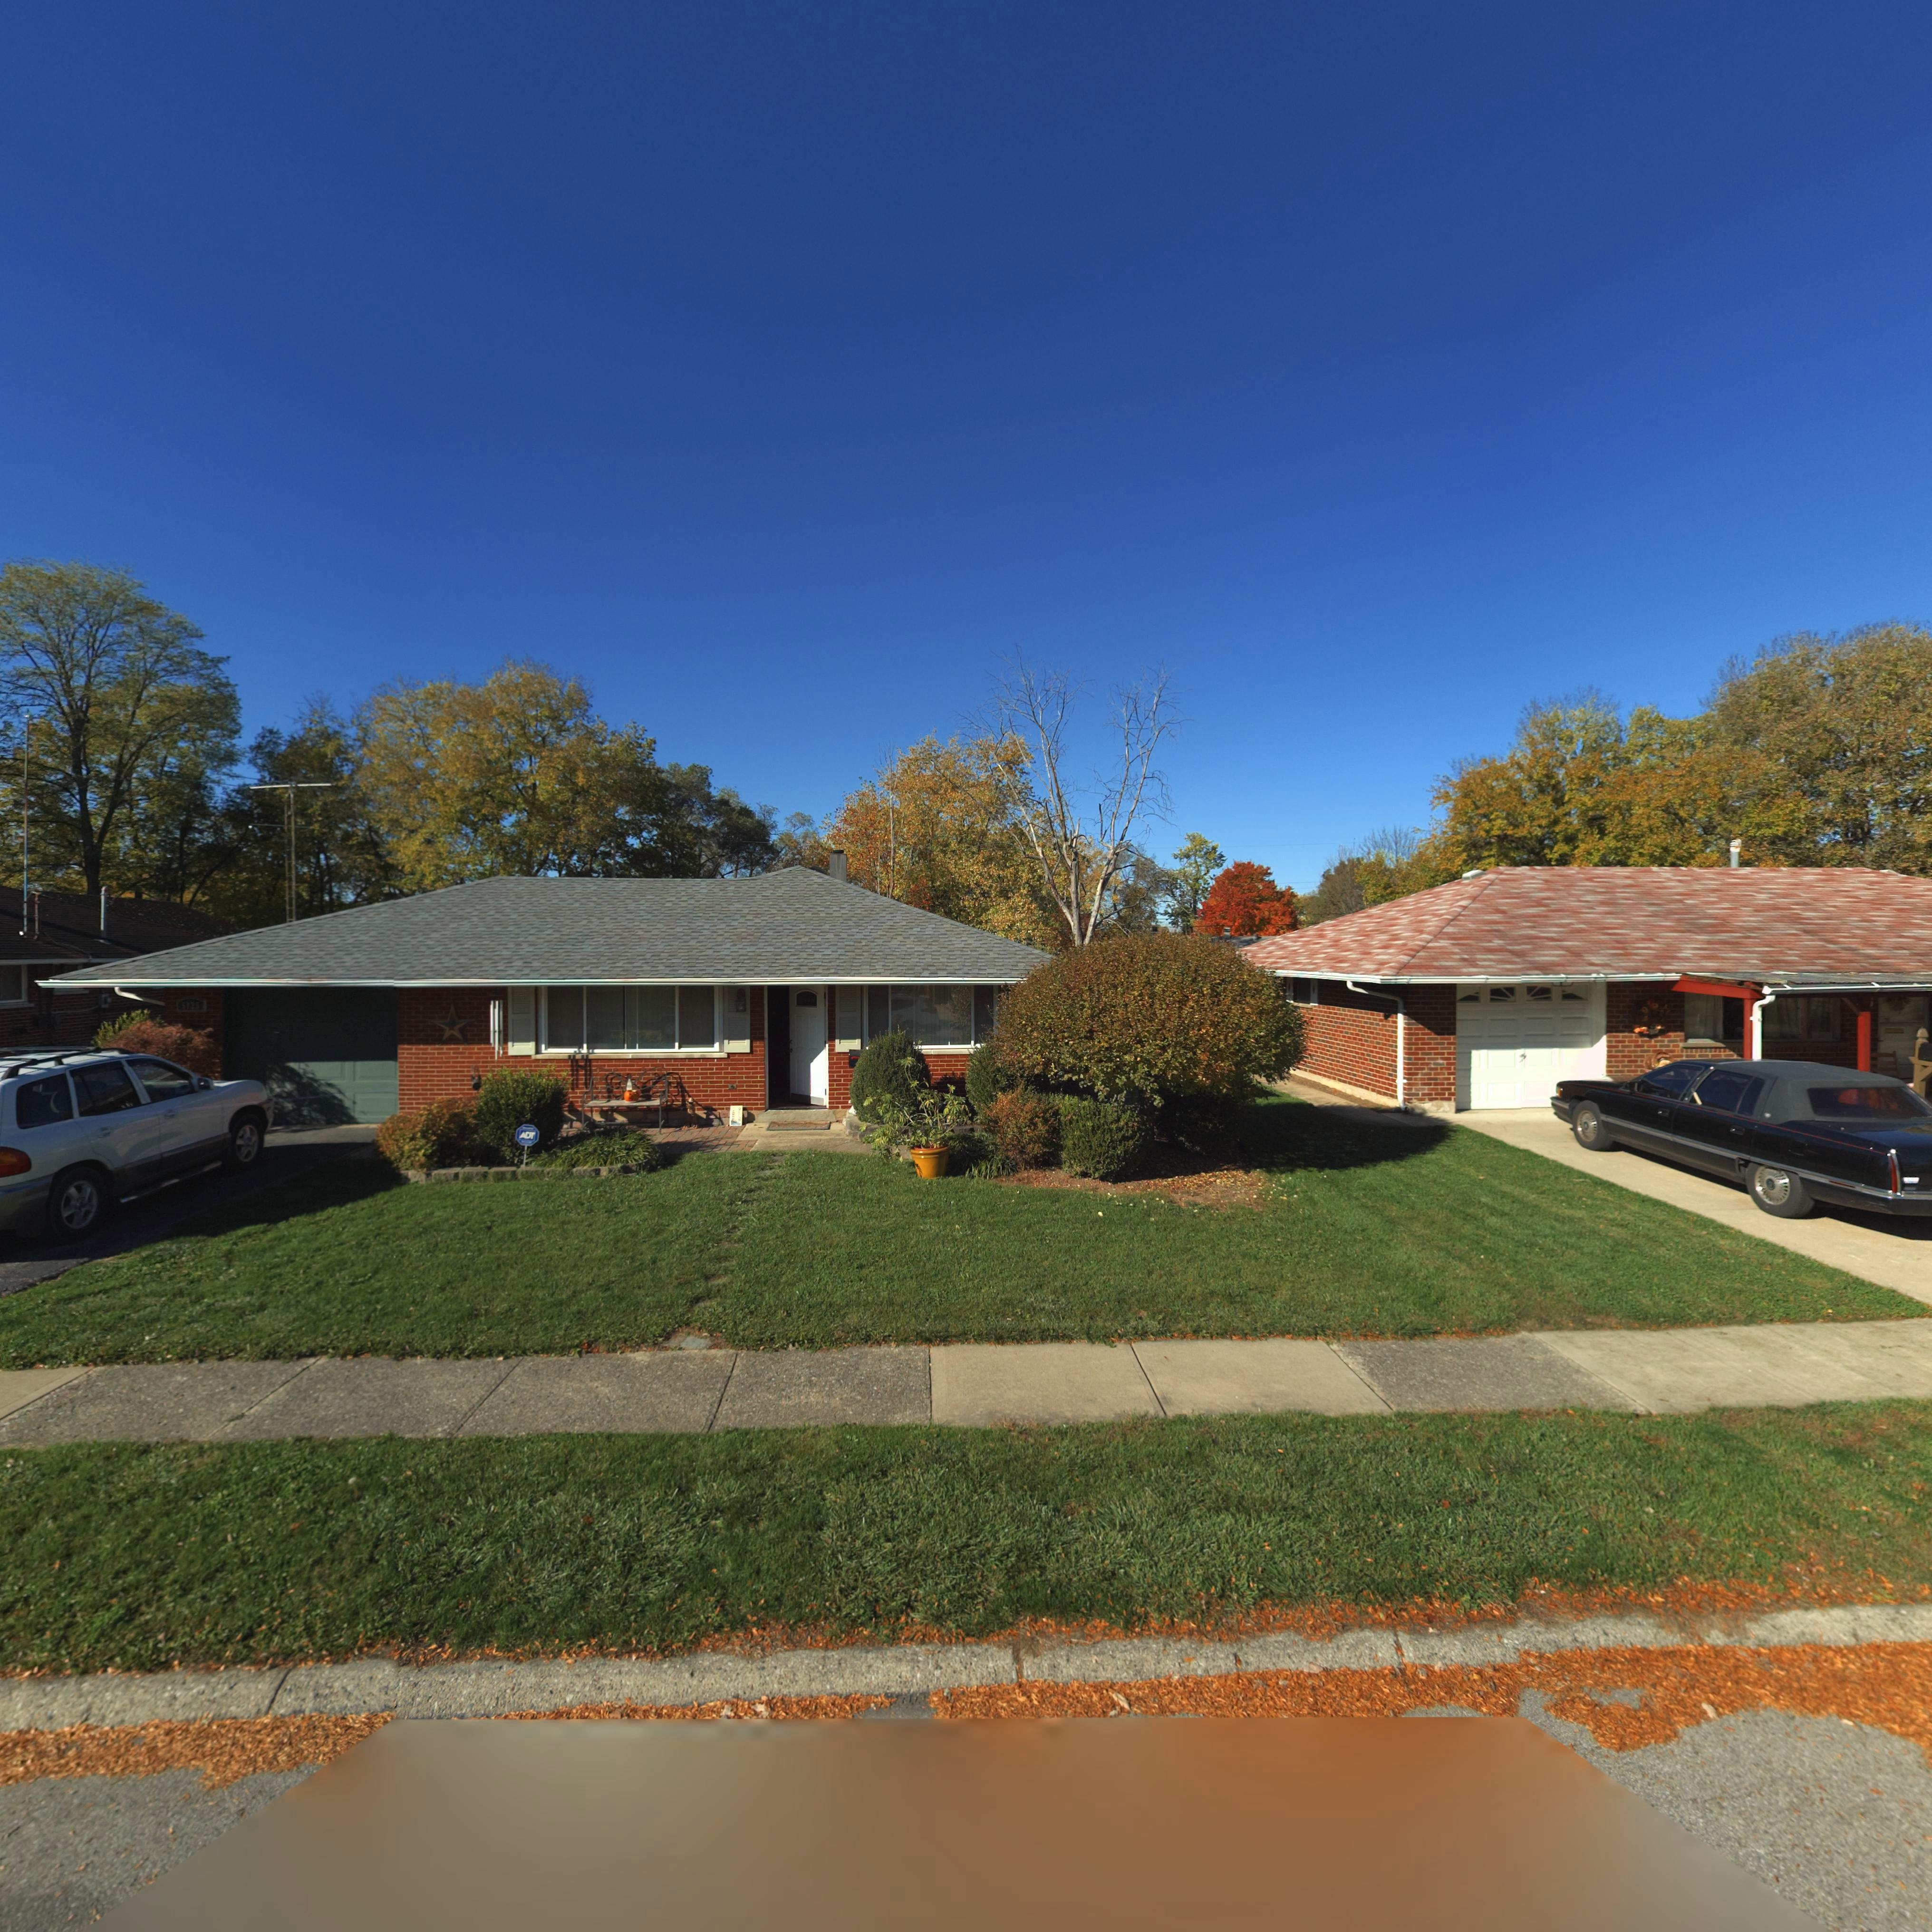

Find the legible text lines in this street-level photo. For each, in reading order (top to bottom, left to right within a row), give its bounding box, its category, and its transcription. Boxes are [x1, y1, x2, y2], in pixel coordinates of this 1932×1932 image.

[180, 1001, 200, 1010] StreetNumber: 5125